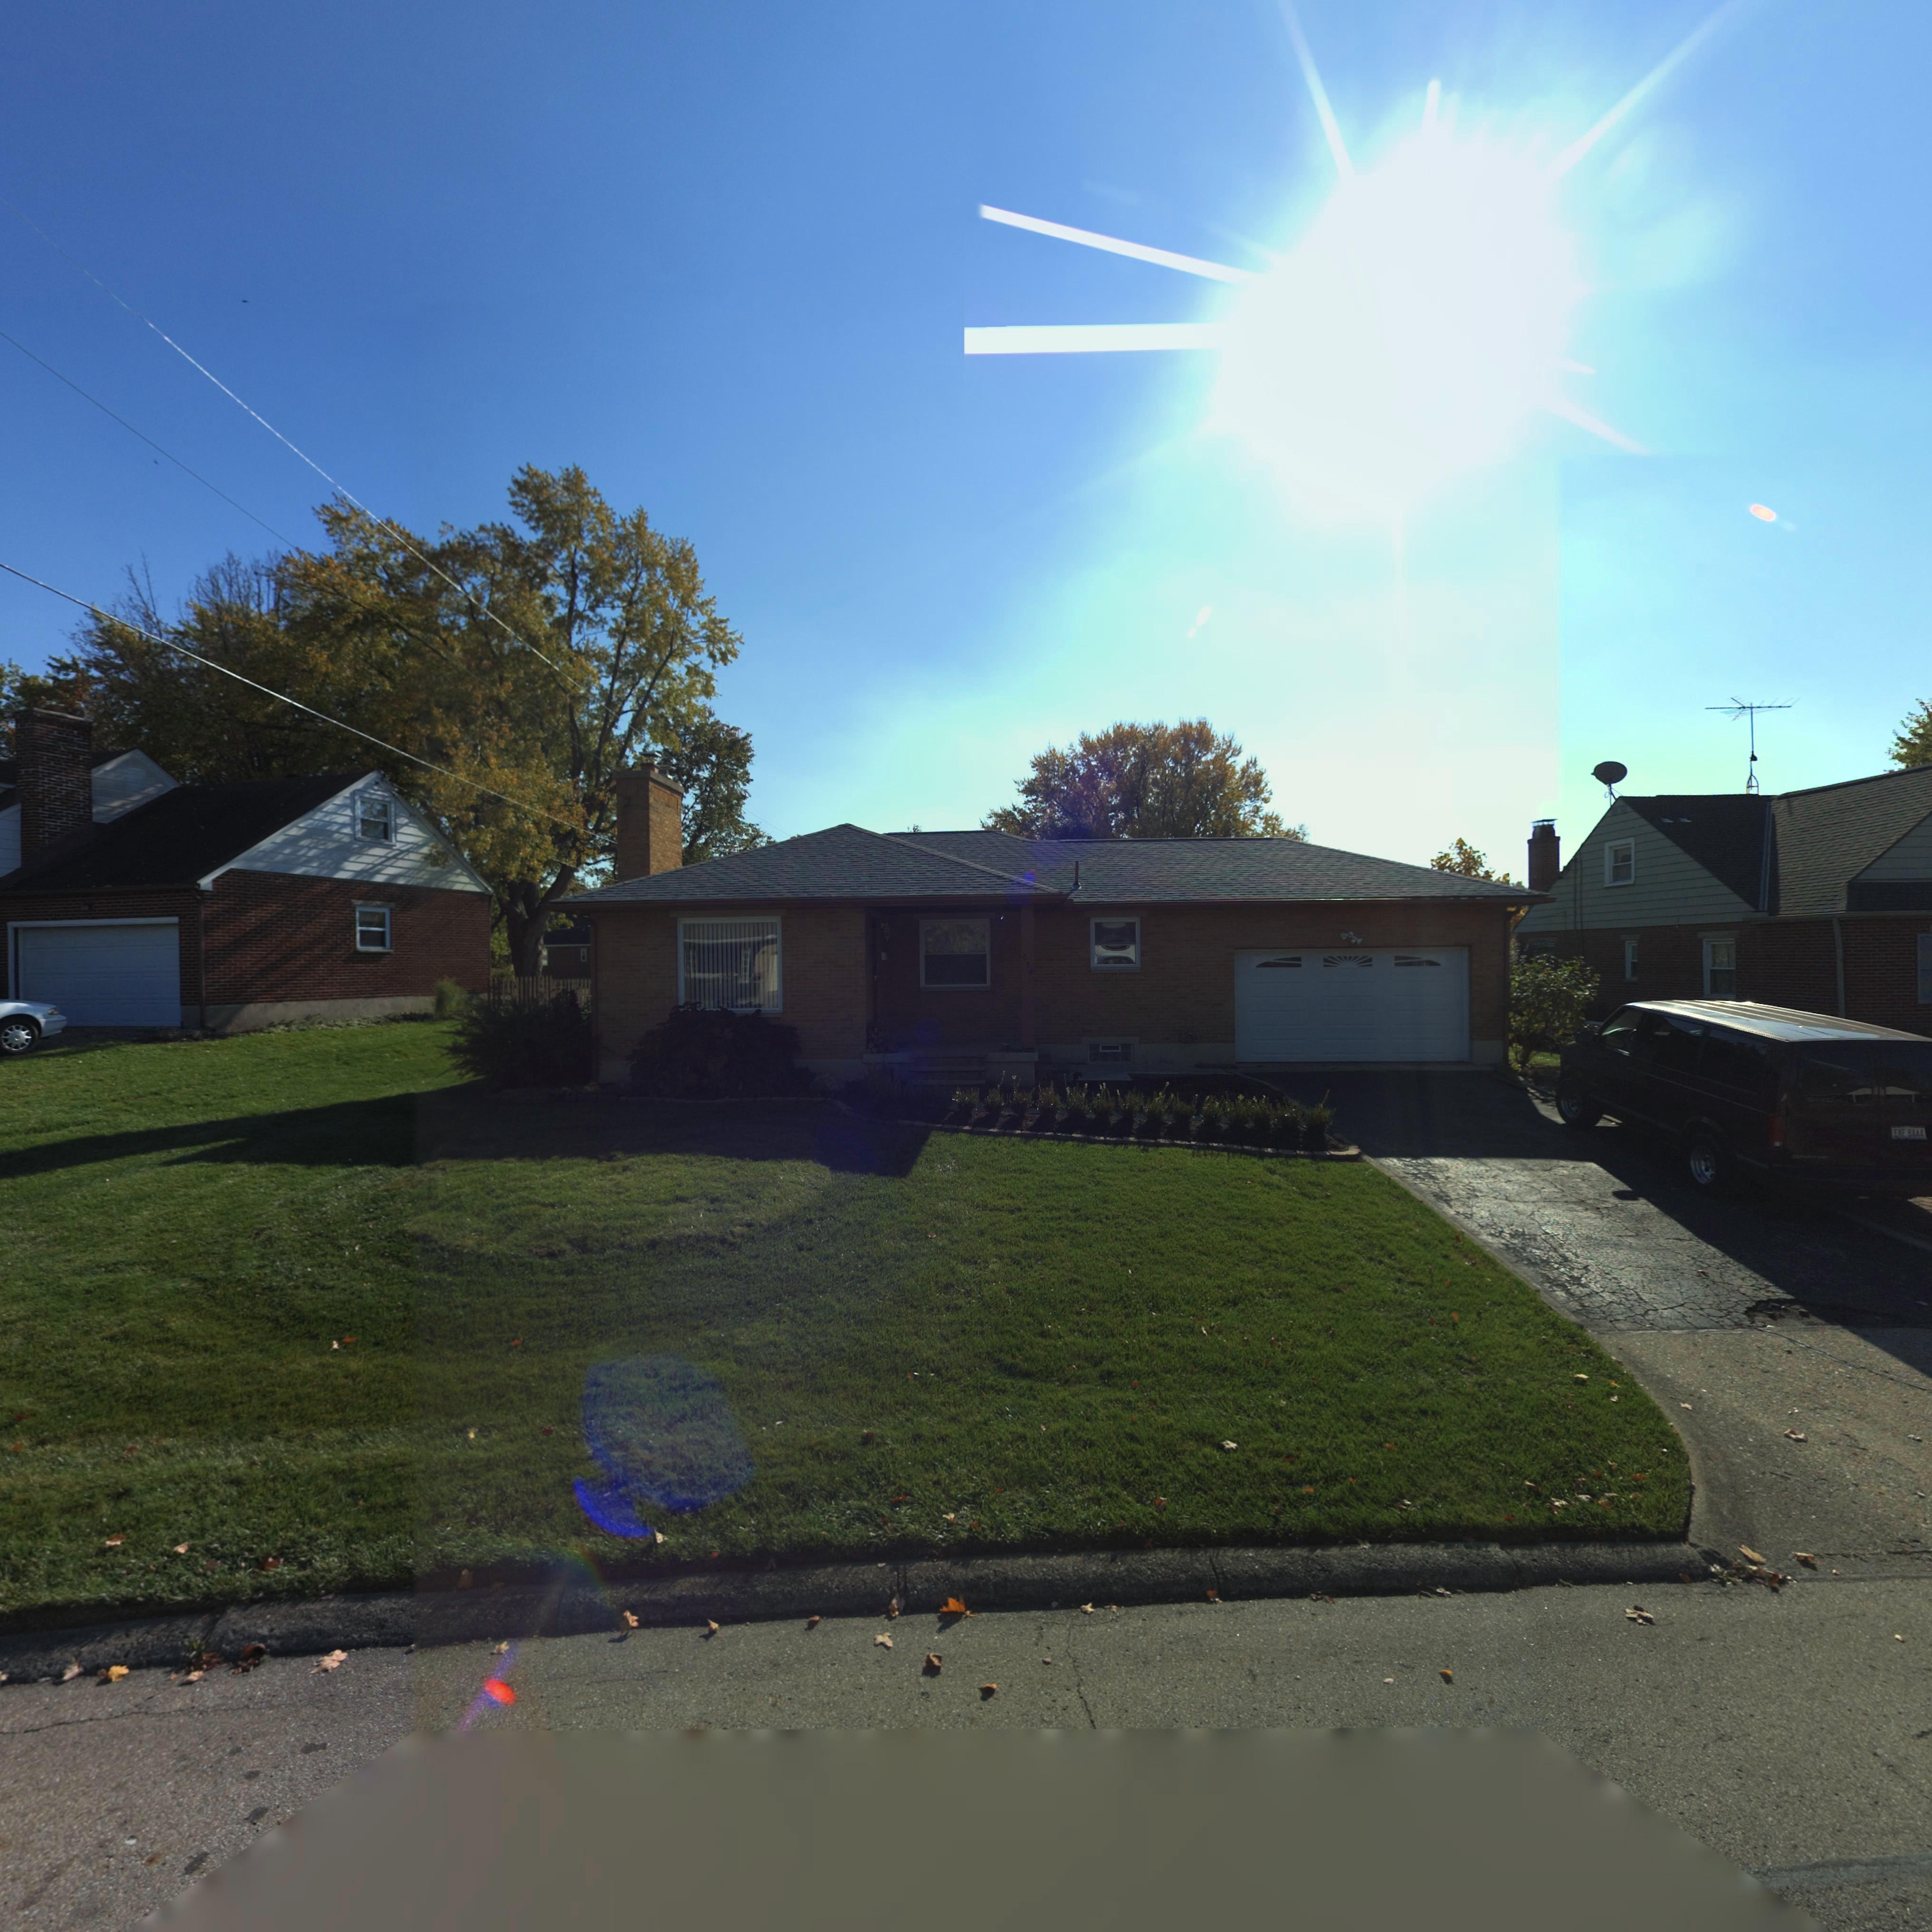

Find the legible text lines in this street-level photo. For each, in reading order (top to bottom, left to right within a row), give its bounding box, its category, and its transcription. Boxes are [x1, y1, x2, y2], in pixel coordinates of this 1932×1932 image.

[1022, 951, 1033, 976] StreetNumber: 634
[1894, 1128, 1925, 1138] None: E*F**444